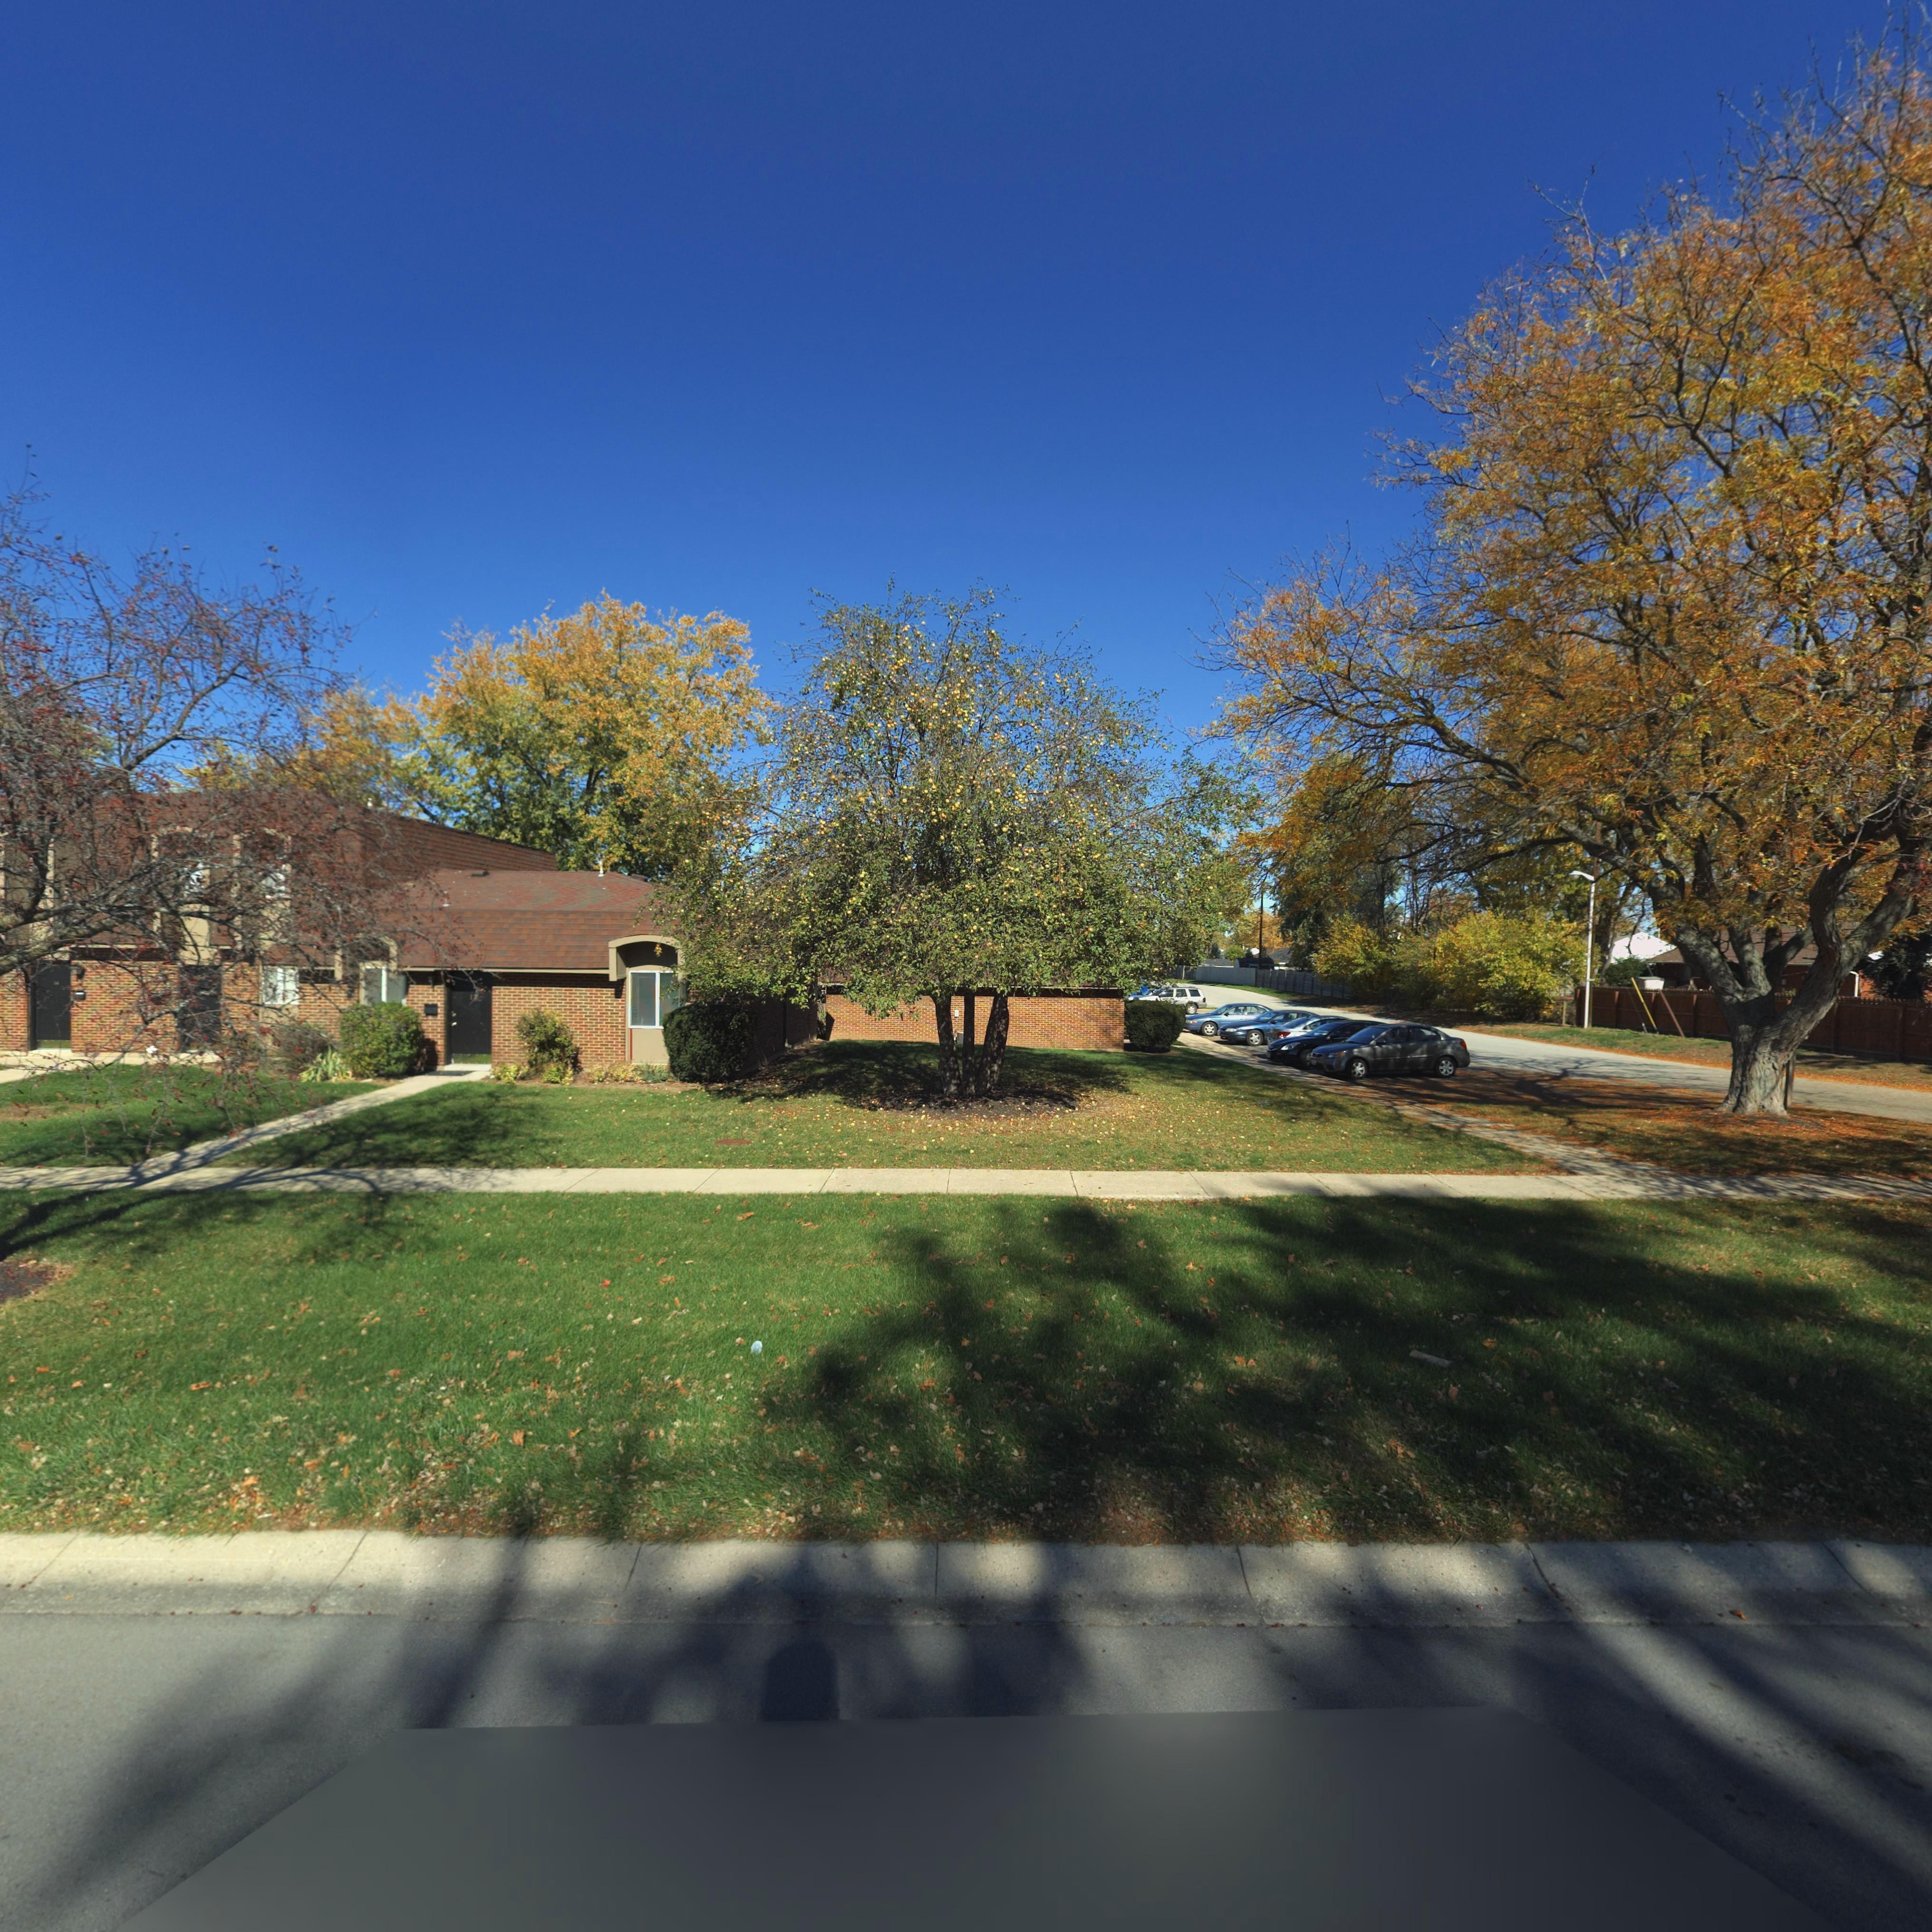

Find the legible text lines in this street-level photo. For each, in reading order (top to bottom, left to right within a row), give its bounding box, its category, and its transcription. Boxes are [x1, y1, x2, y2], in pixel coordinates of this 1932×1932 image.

[469, 994, 478, 1001] StreetNumber: 12